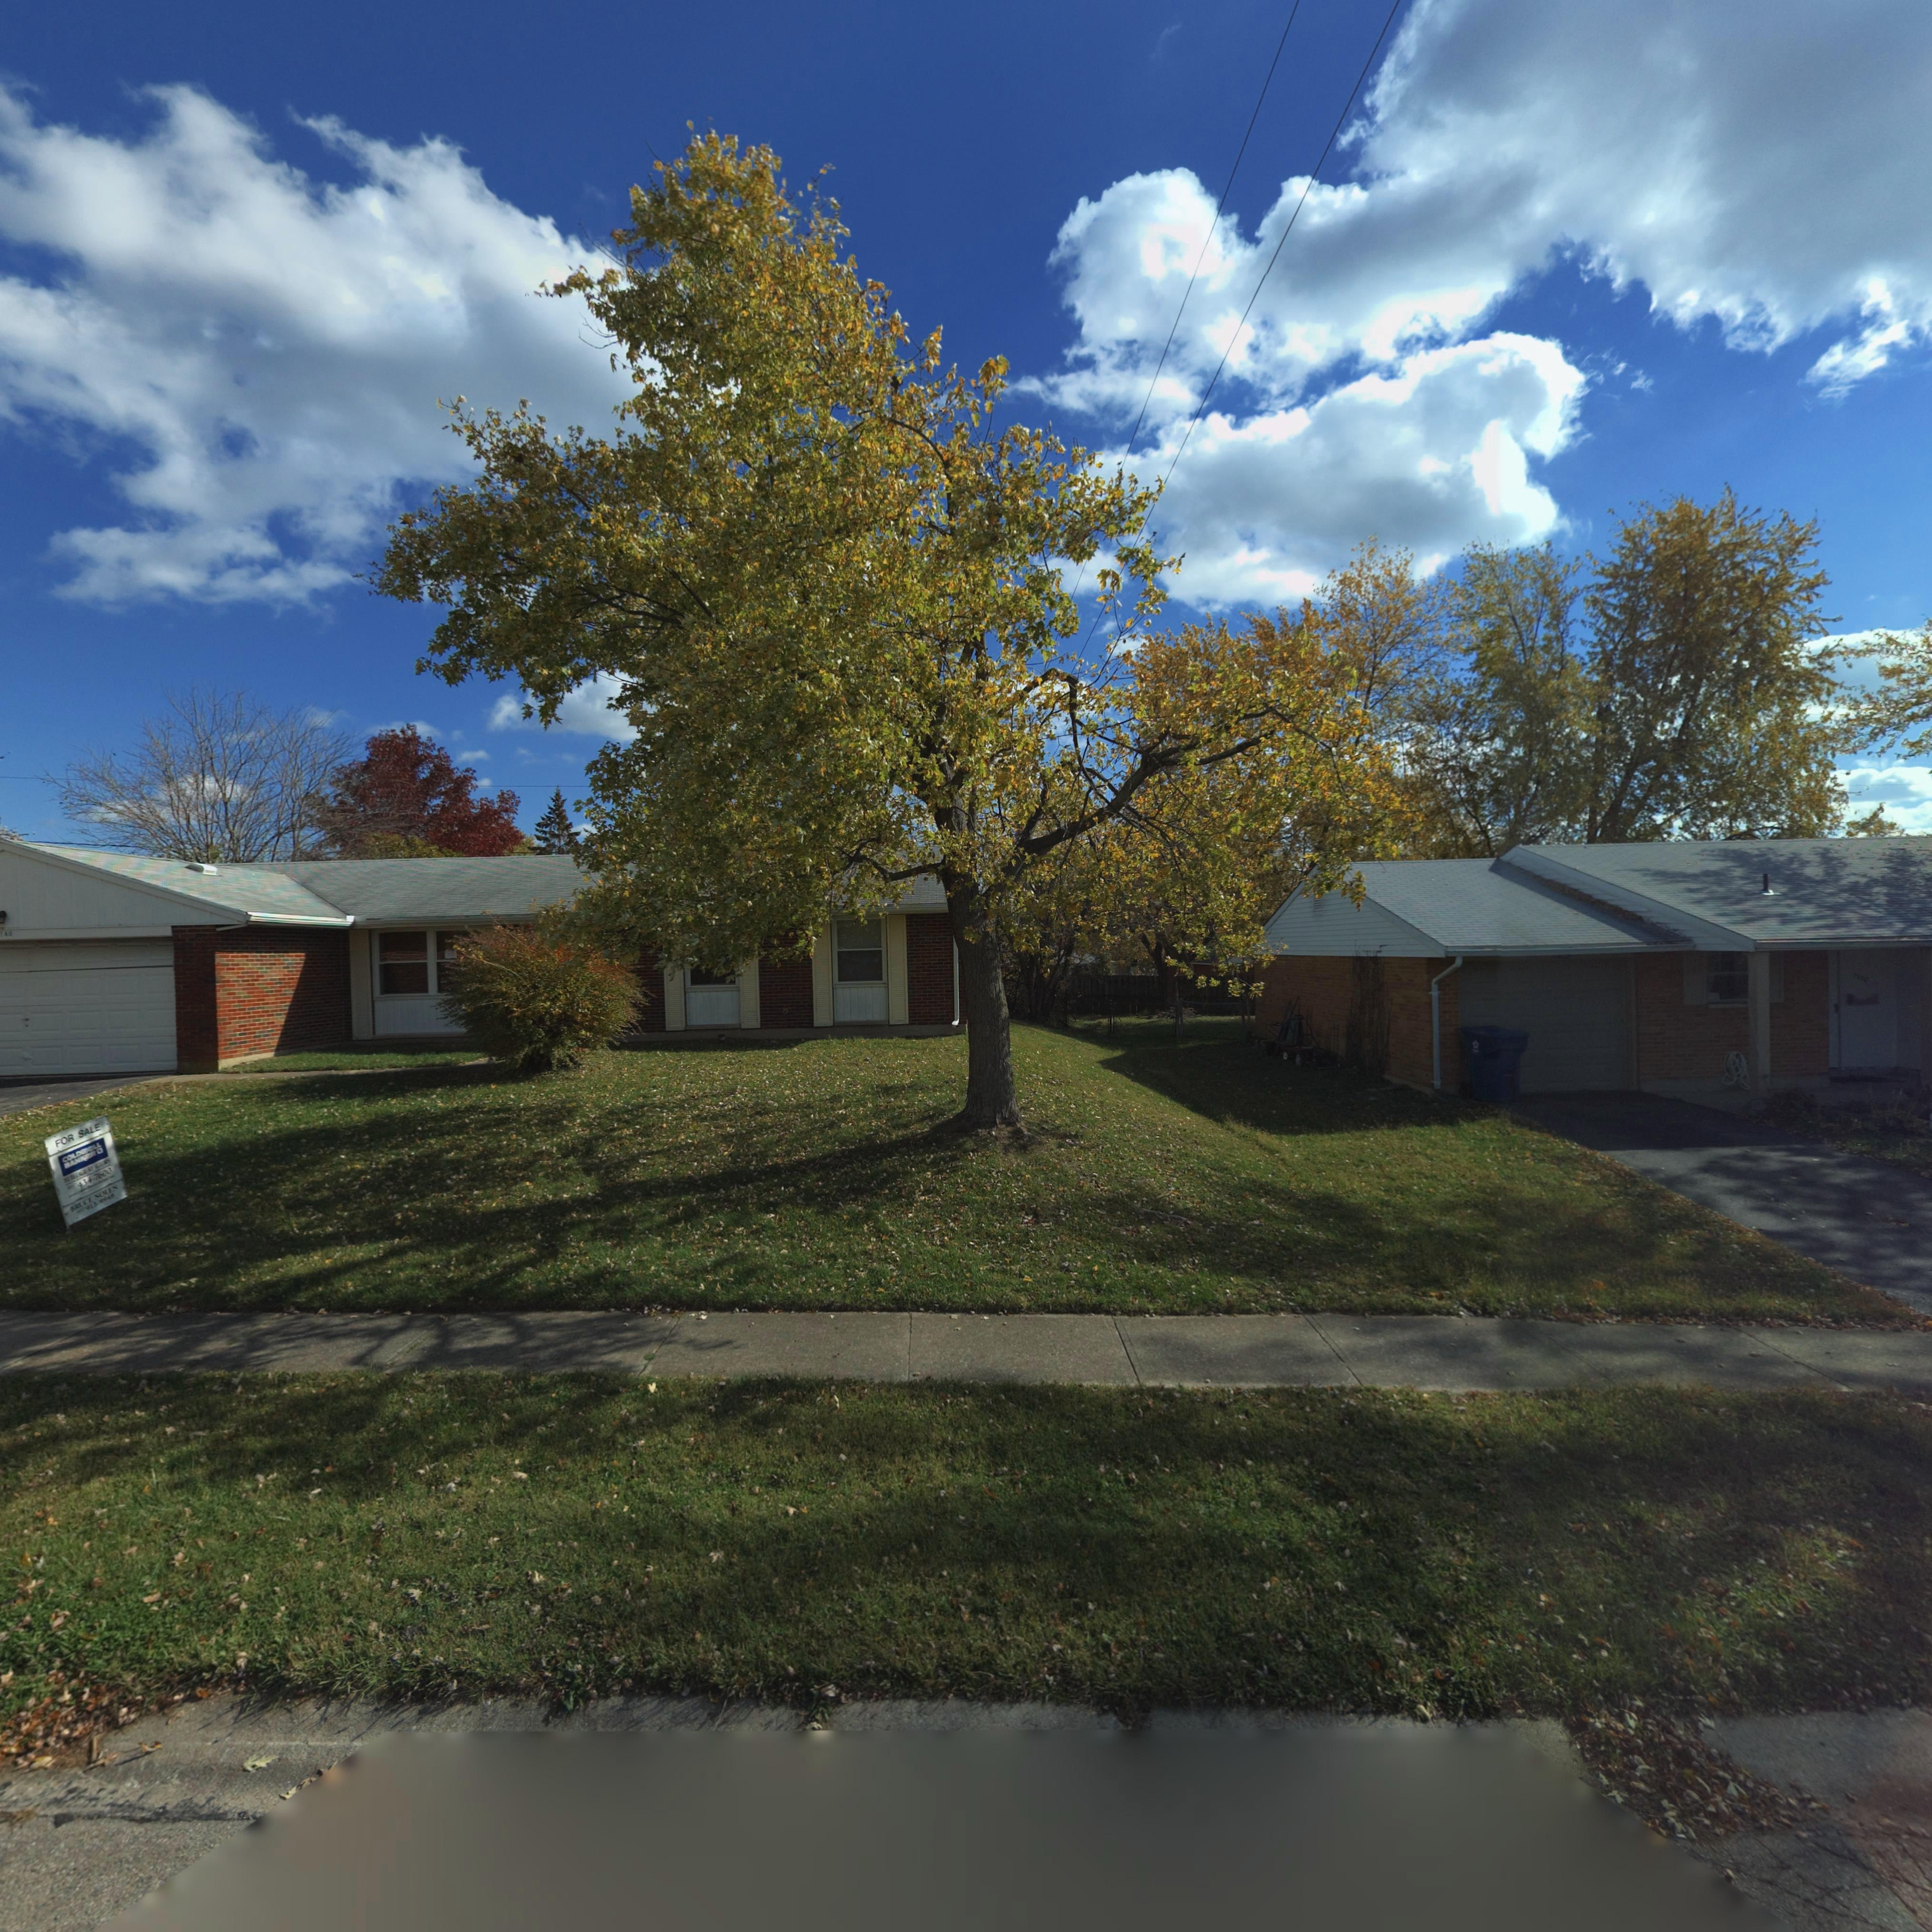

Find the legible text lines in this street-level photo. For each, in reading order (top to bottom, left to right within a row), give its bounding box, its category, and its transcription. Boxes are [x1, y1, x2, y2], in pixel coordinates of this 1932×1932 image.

[3, 930, 13, 937] StreetNumber: 40
[1853, 972, 1869, 984] StreetNumber: 7**0